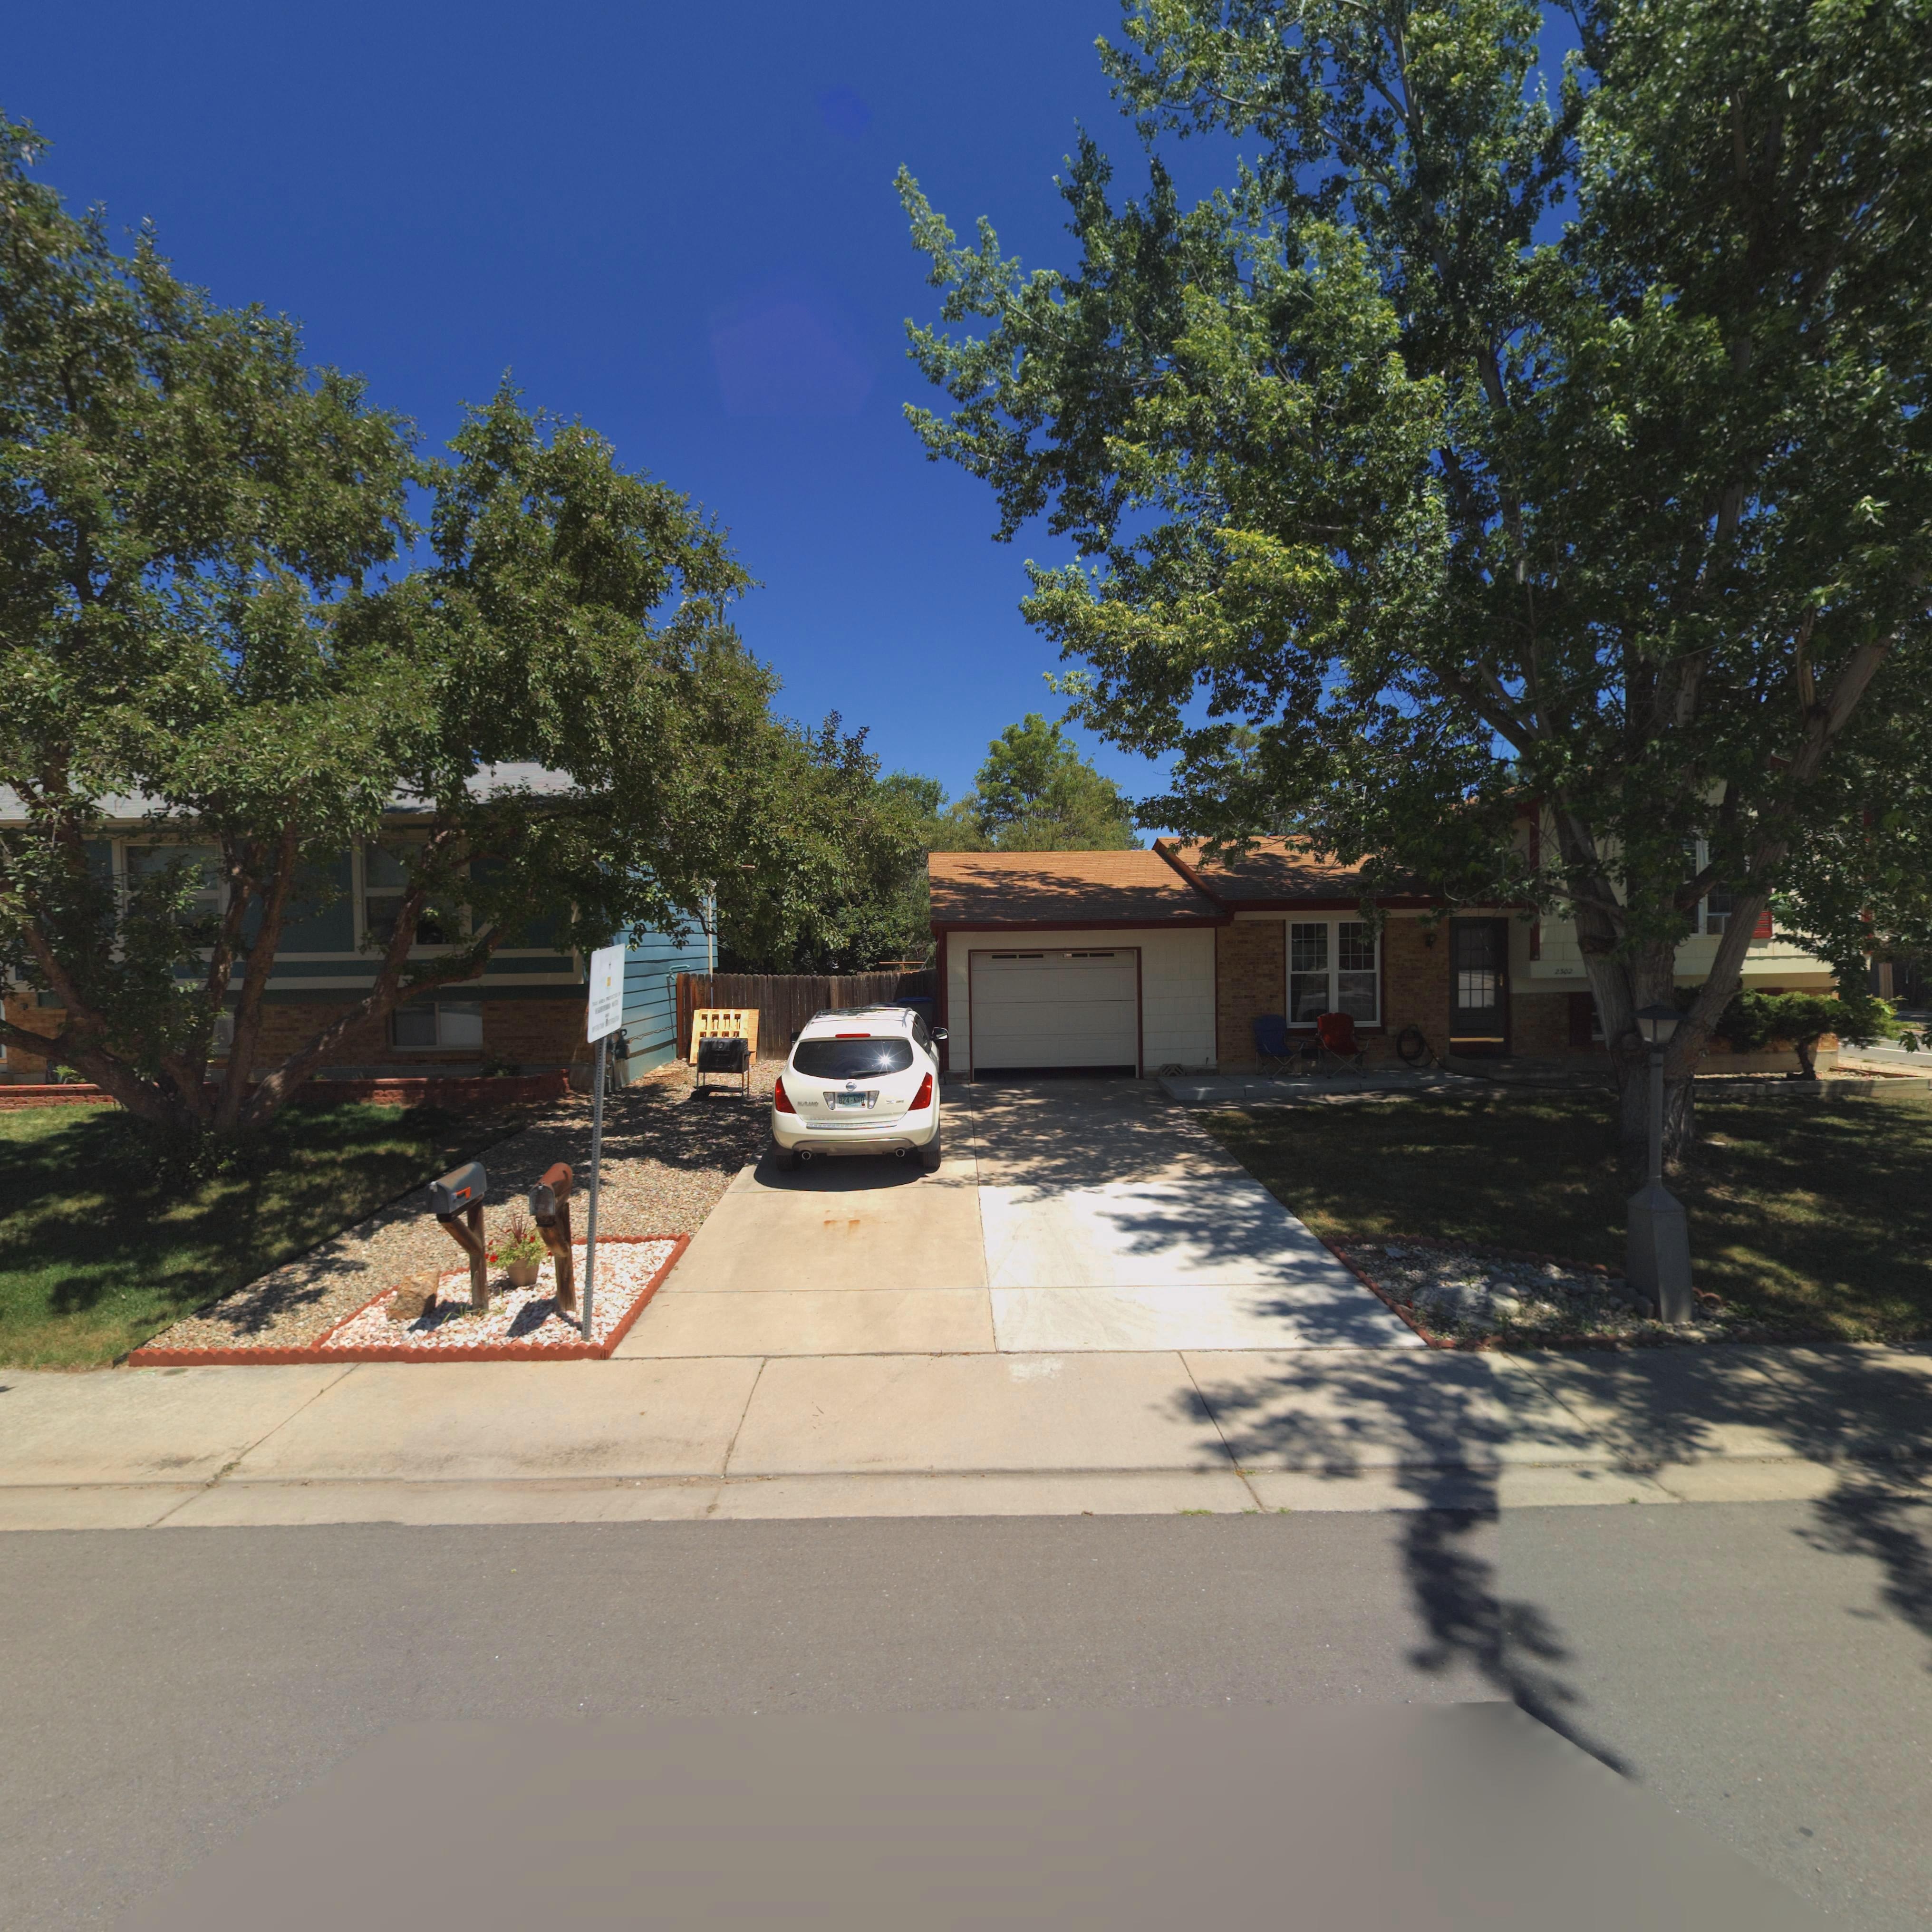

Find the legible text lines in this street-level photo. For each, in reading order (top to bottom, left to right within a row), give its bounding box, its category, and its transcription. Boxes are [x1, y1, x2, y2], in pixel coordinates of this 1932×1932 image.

[1554, 967, 1574, 975] StreetNumber: 2302